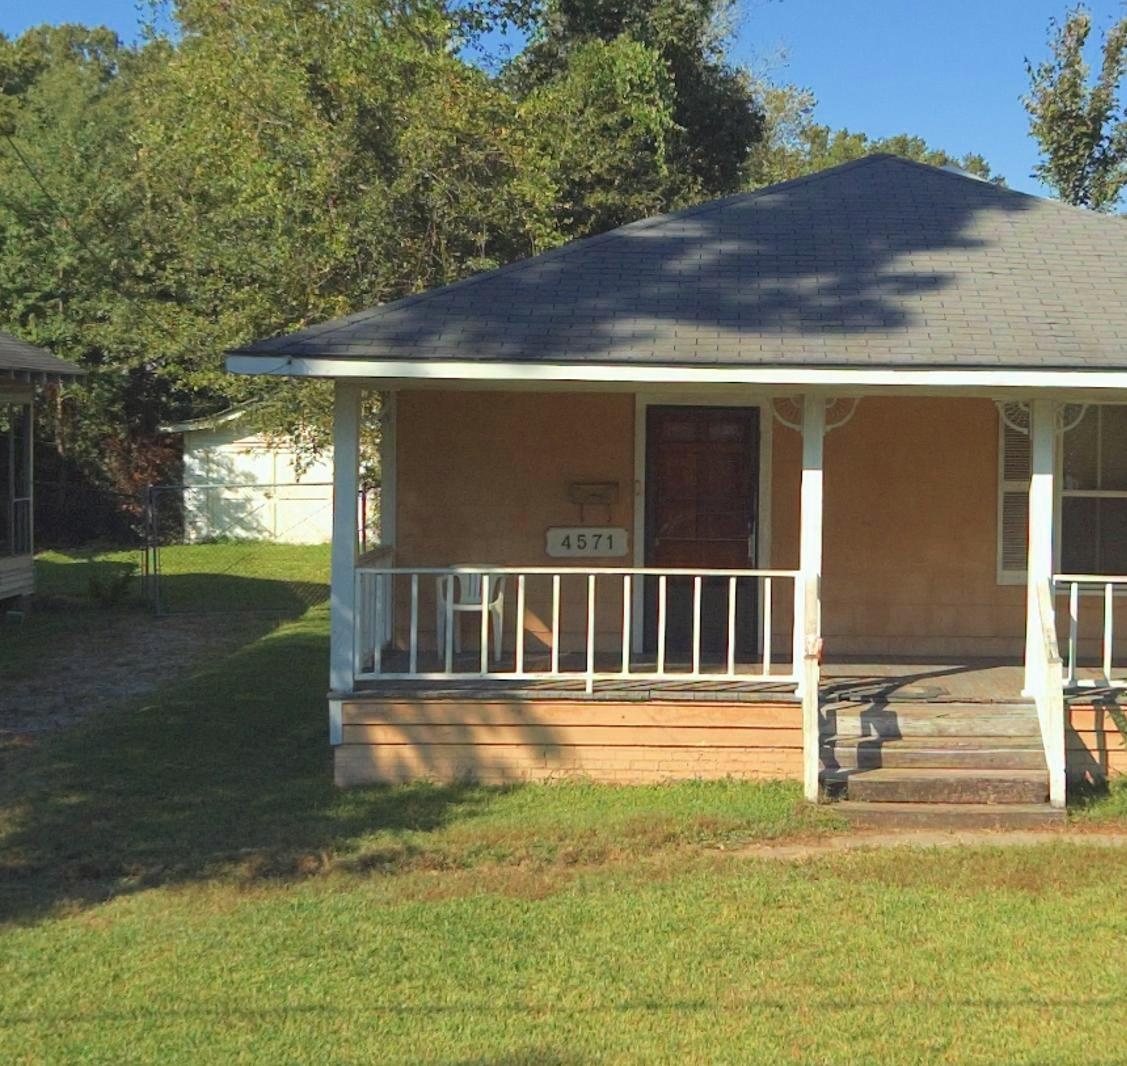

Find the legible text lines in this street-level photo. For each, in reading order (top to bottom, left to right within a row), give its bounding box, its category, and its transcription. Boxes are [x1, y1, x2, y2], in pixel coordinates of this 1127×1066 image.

[560, 533, 614, 551] StreetNumber: 4571